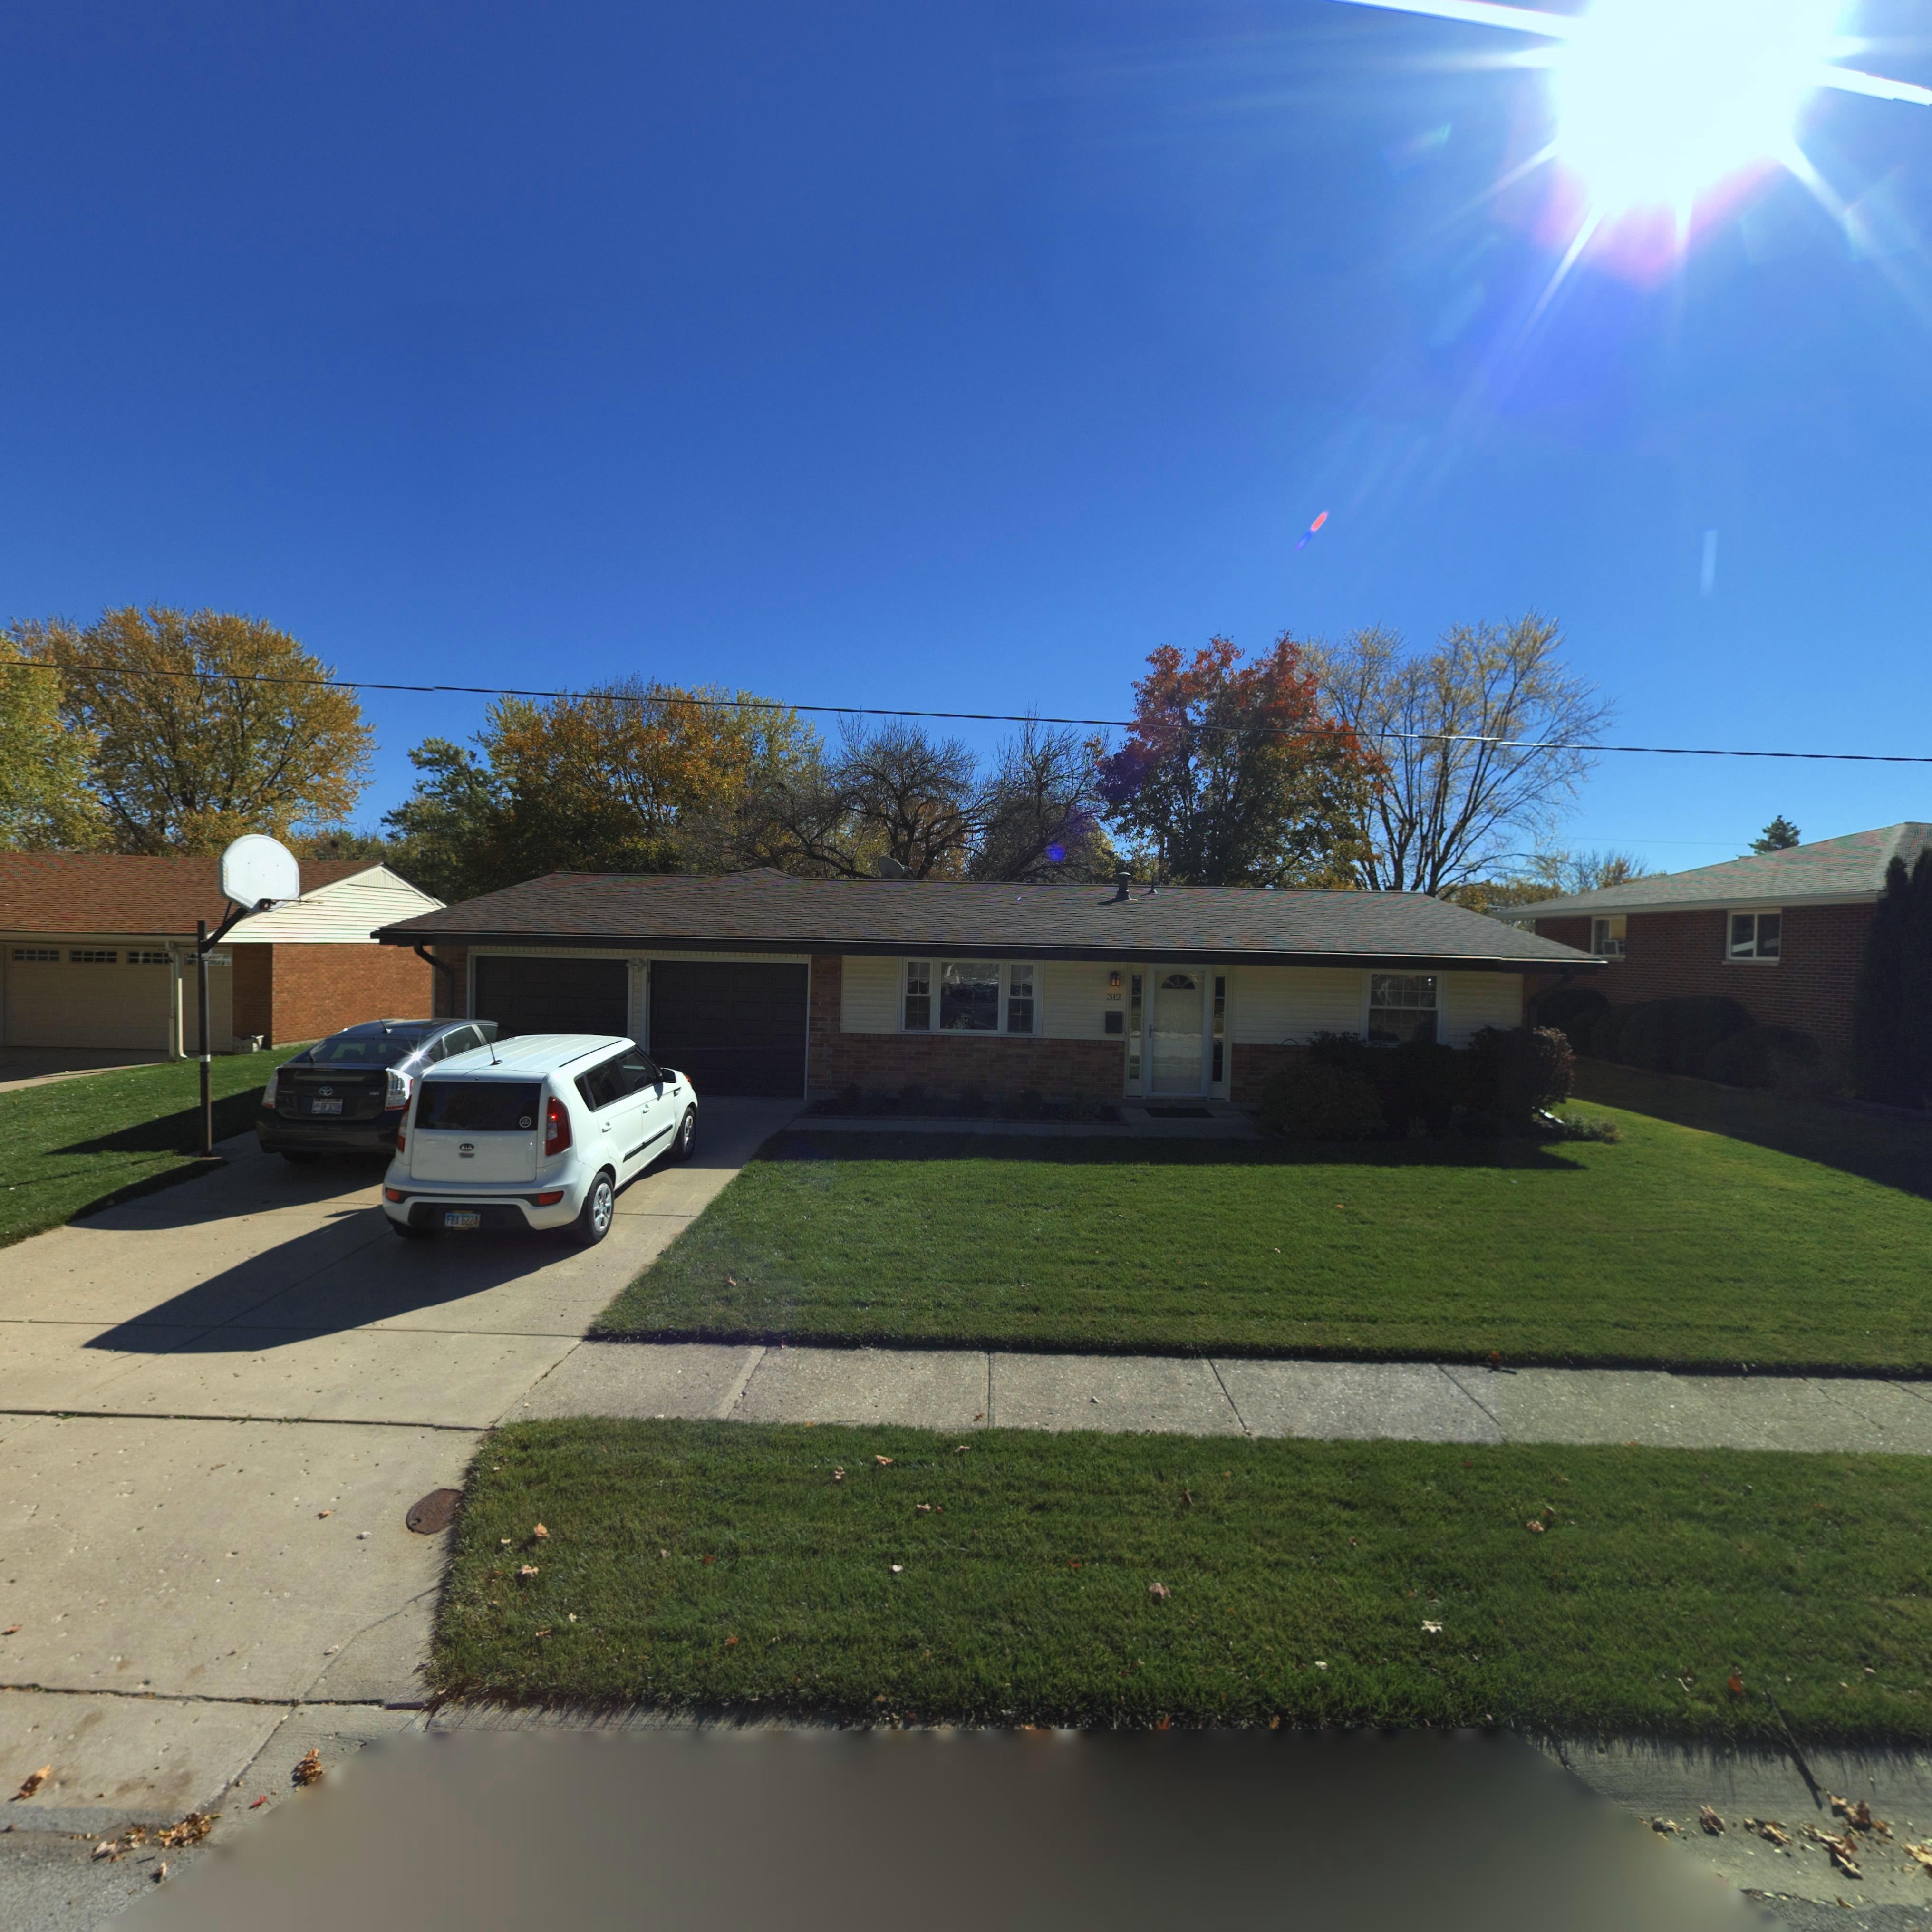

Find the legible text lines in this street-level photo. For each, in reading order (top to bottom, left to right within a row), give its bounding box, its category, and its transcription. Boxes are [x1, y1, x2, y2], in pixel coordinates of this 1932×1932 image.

[1106, 992, 1122, 1002] StreetNumber: 312
[319, 1102, 335, 1111] None: BF32
[460, 1144, 473, 1150] None: KIA
[445, 1214, 479, 1227] None: FBA*6224